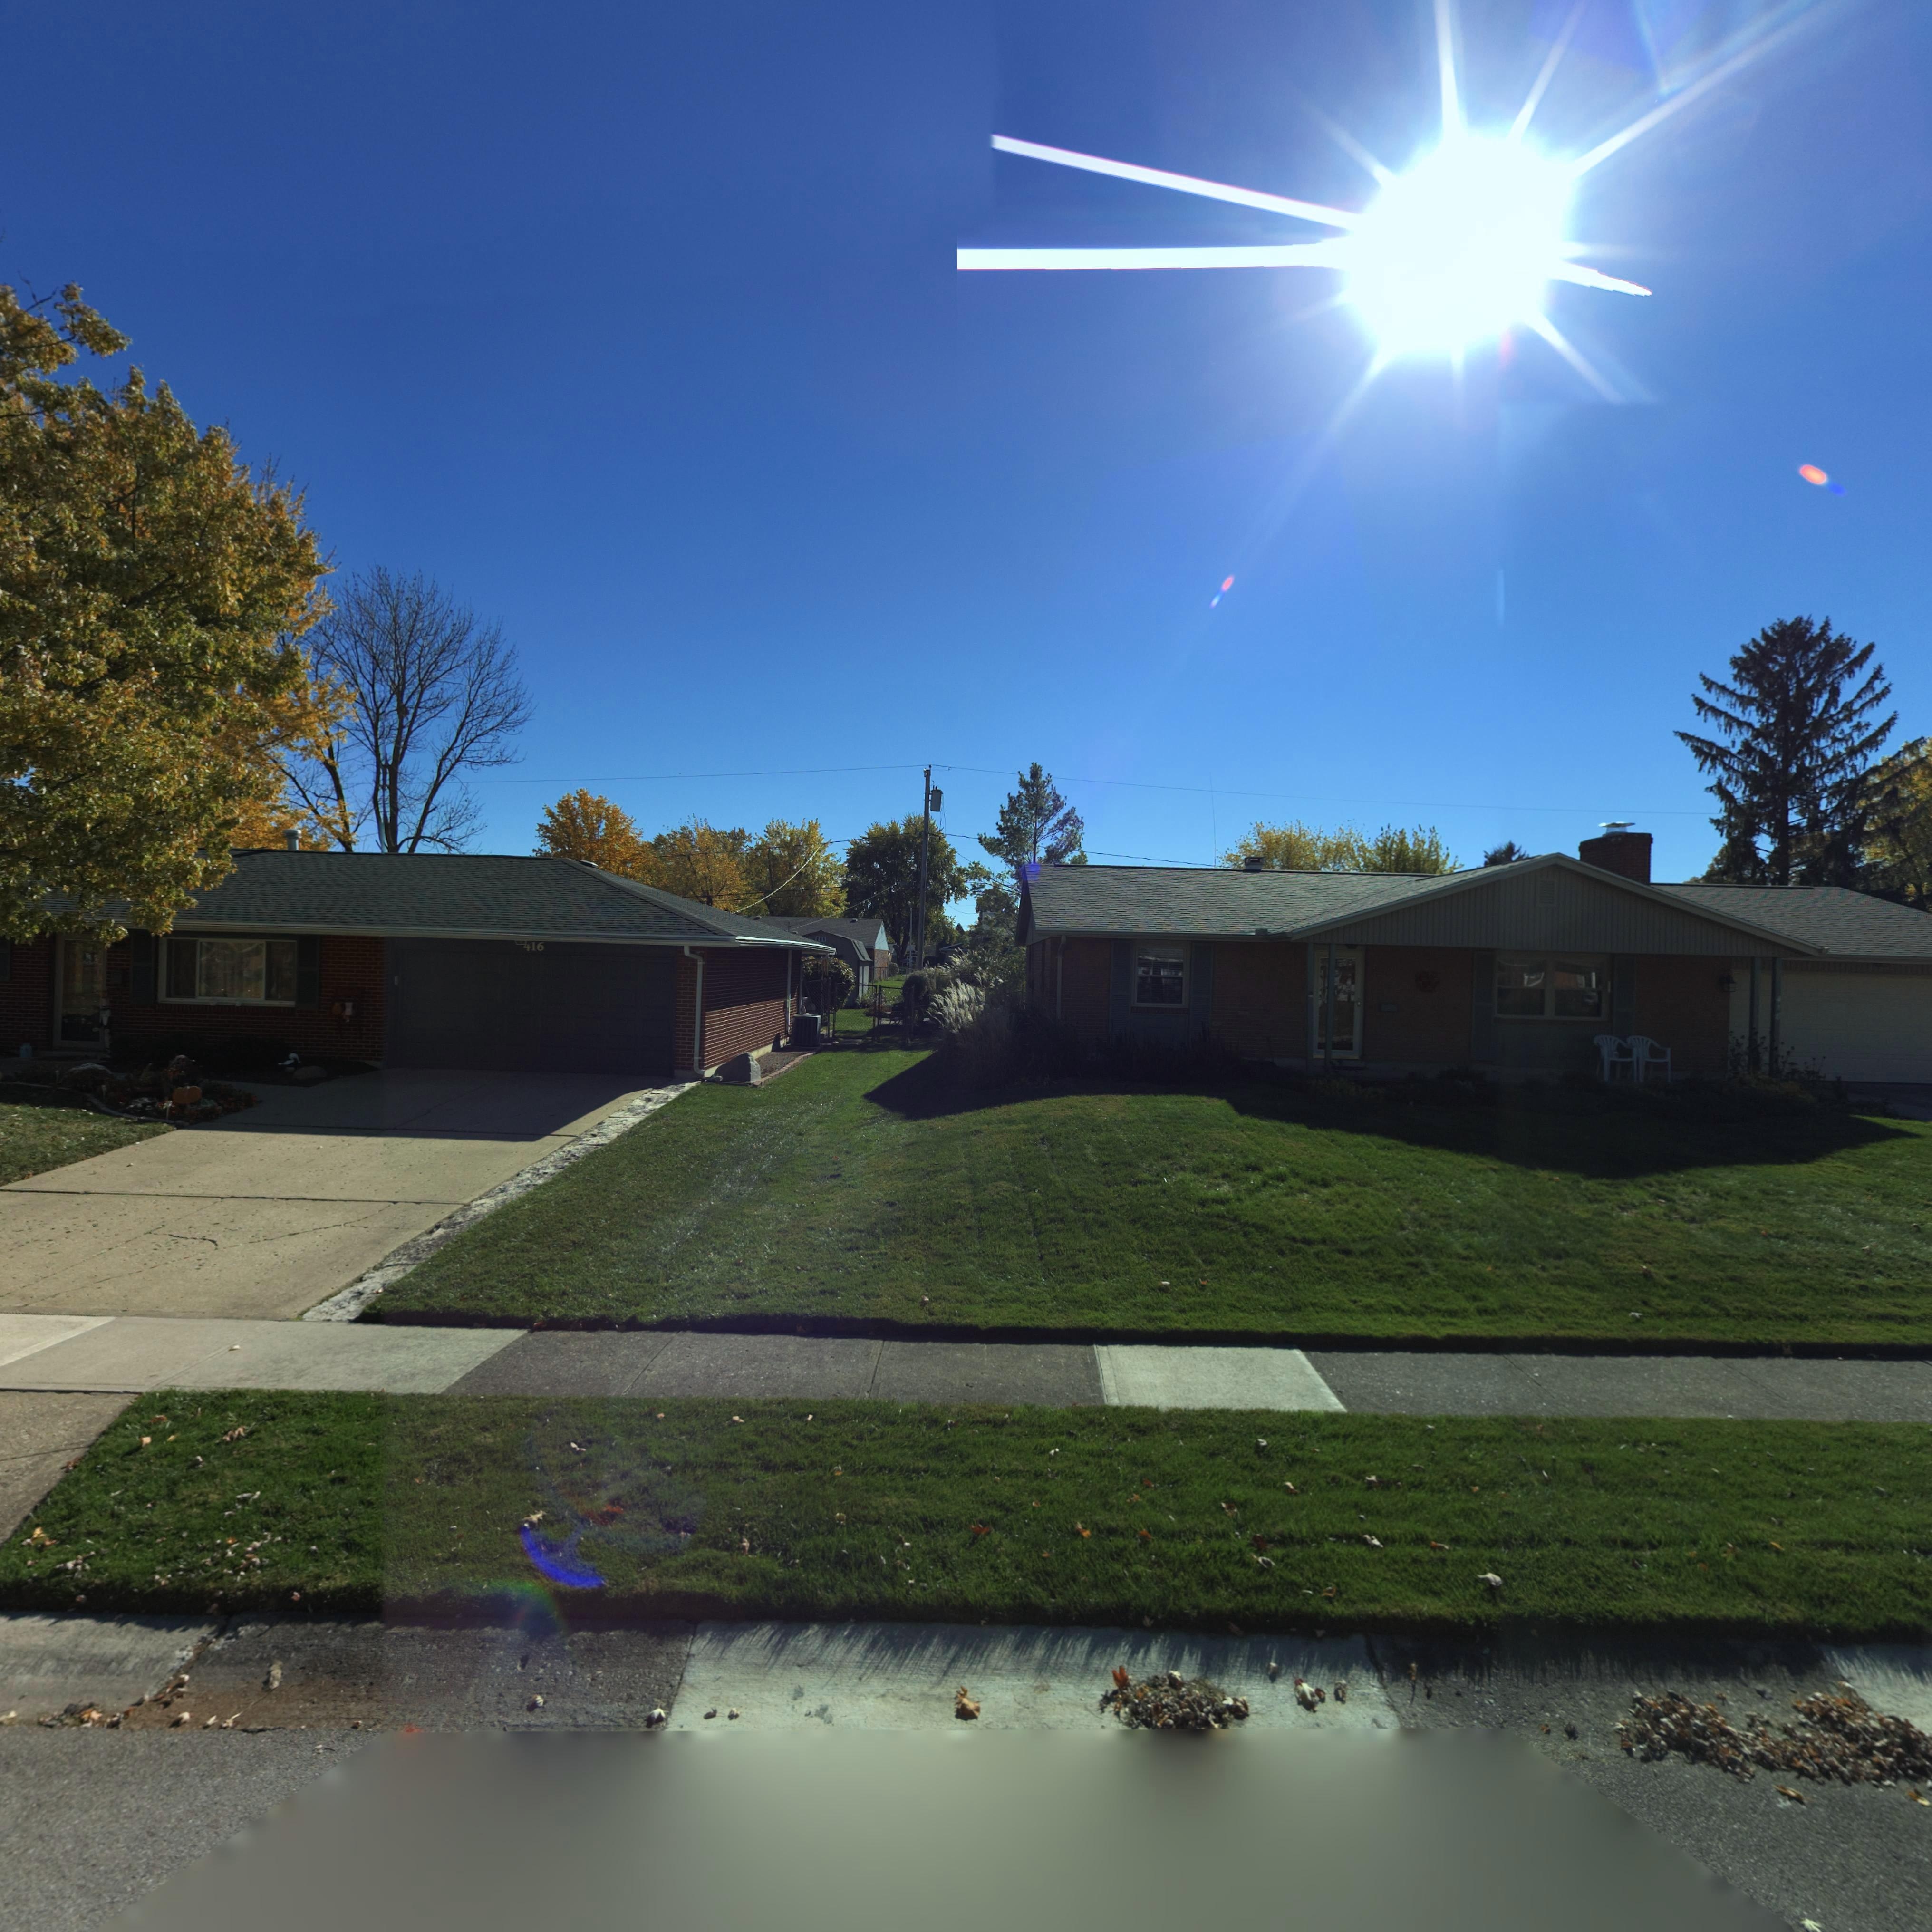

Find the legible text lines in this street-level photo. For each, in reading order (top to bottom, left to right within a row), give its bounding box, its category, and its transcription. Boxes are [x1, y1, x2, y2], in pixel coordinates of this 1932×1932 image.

[522, 940, 546, 952] StreetNumber: 416